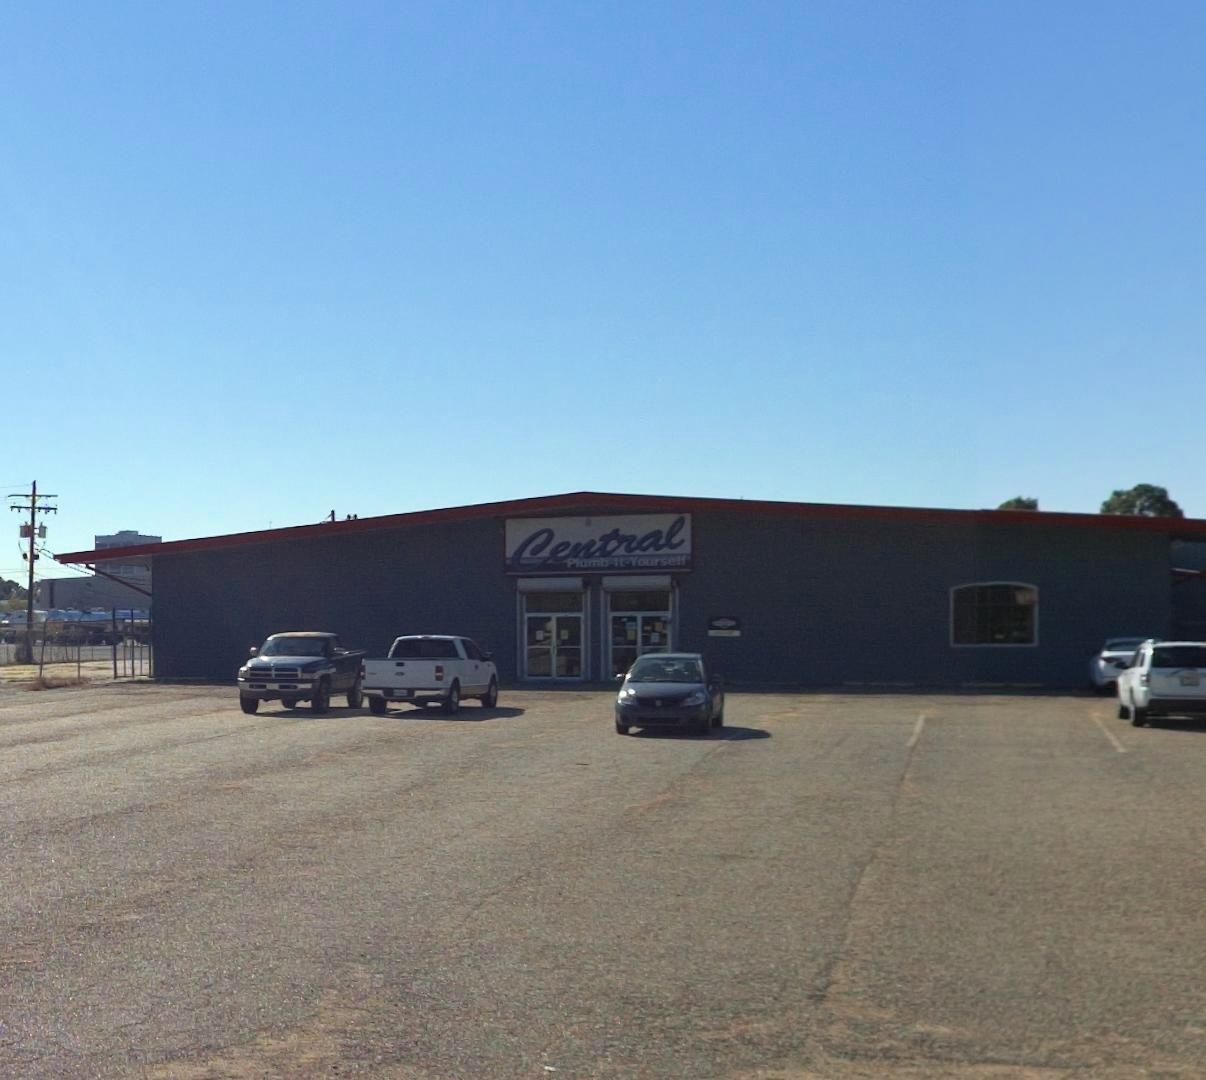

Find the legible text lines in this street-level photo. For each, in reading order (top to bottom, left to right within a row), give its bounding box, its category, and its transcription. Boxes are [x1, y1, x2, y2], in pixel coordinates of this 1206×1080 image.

[504, 512, 689, 577] BusinessName: Central
[563, 552, 689, 571] None: Plumb-it-Yourself